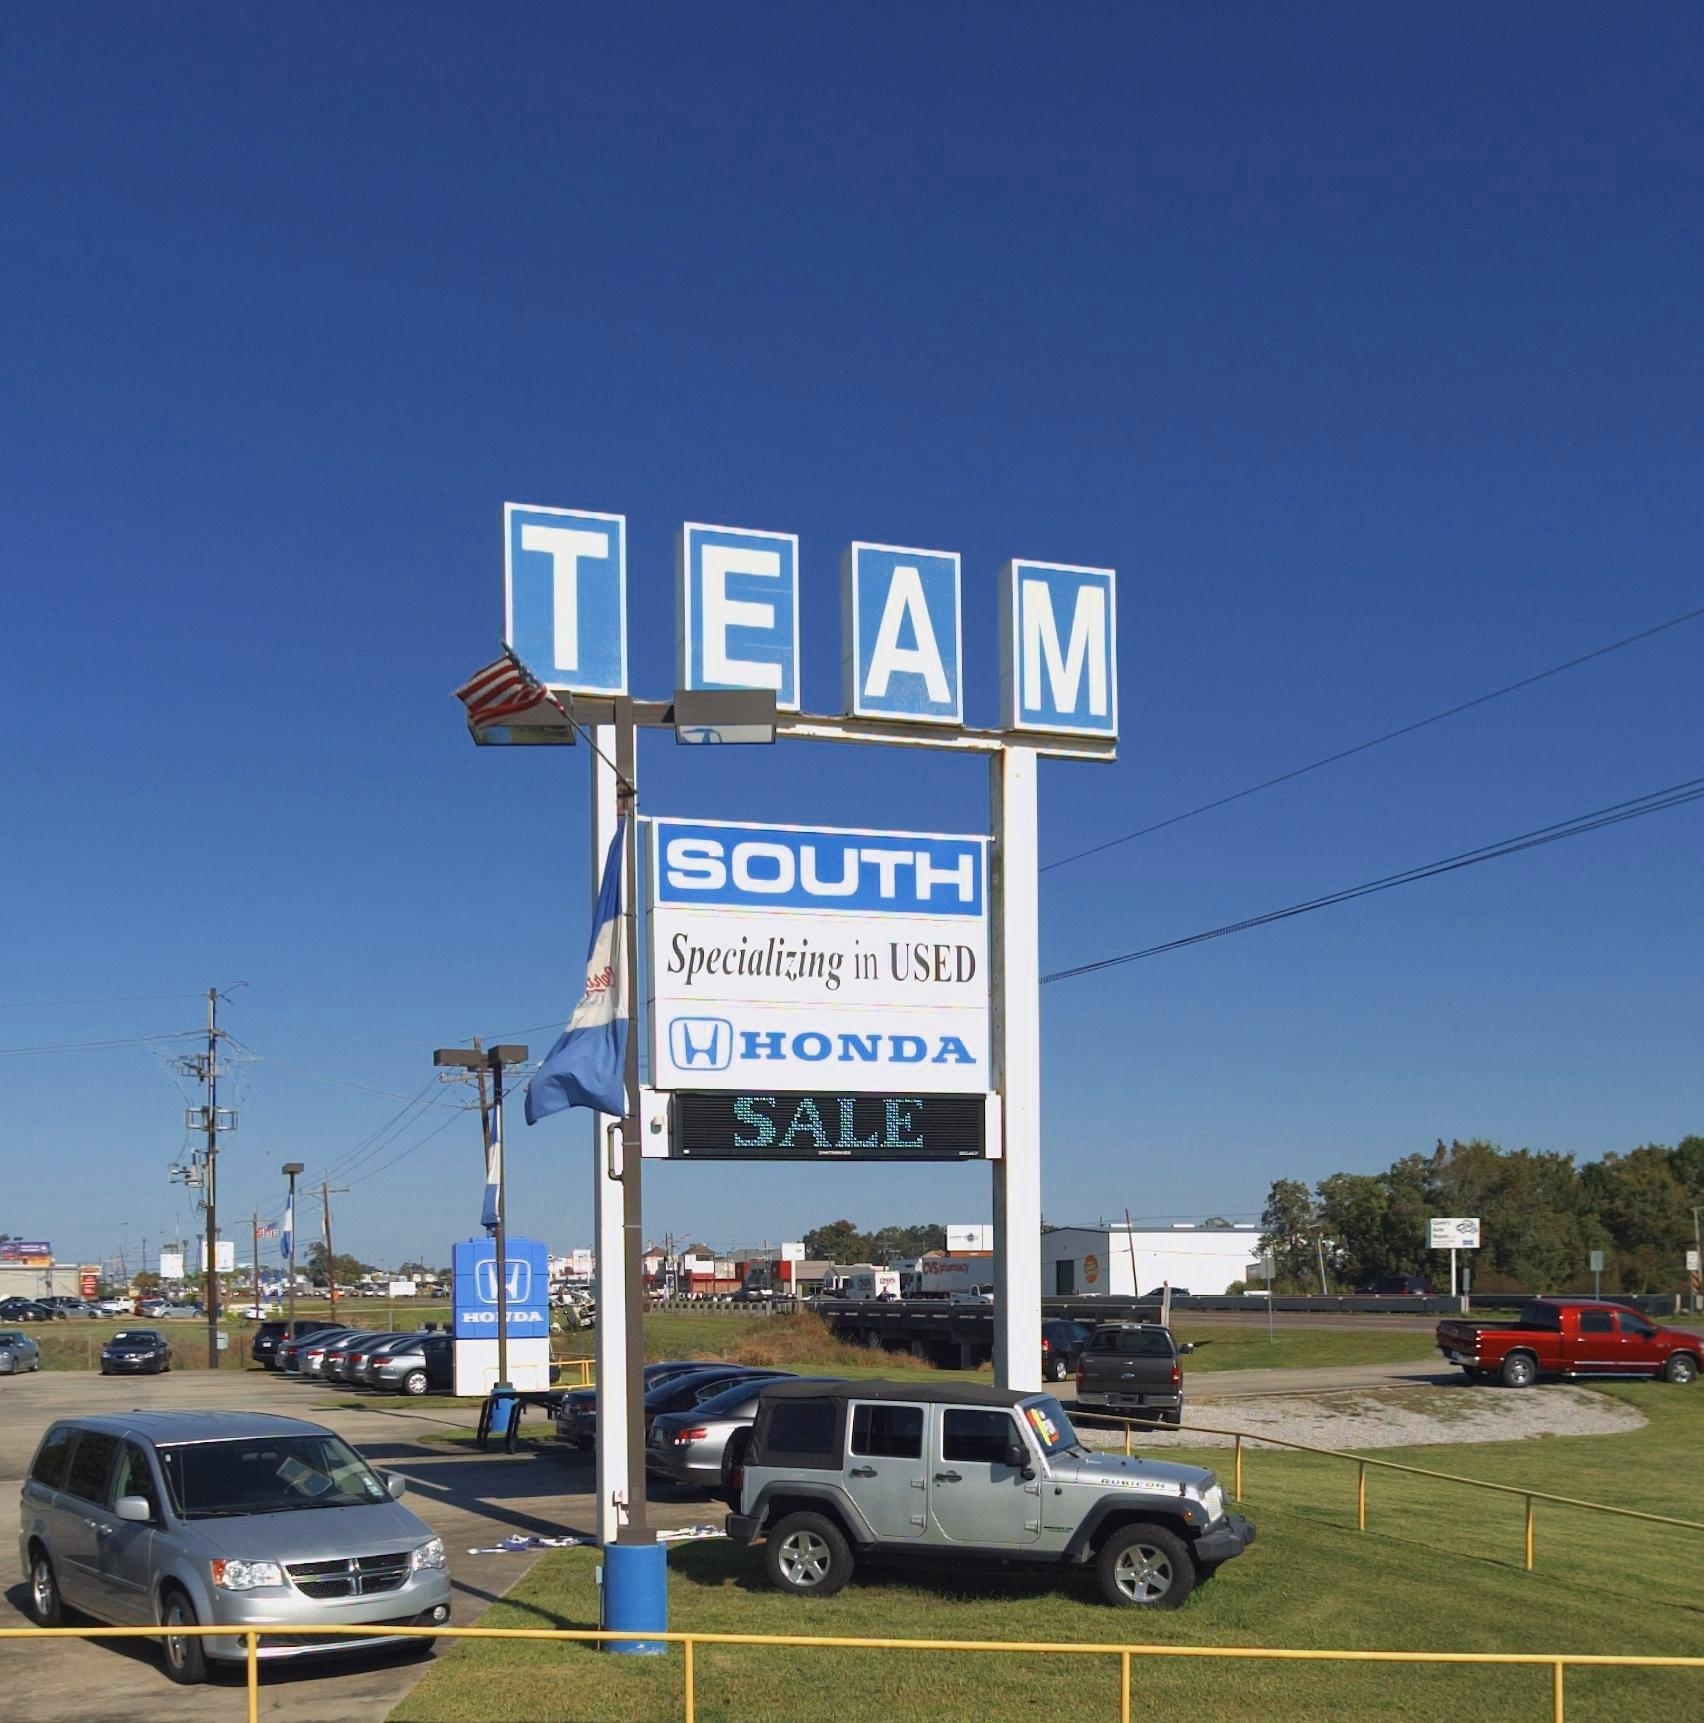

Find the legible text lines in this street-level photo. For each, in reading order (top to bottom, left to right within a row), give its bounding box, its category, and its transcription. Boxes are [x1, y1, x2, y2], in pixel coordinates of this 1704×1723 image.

[517, 519, 1110, 720] None: TEAM
[663, 836, 977, 906] None: SOUTH
[664, 929, 978, 994] None: Specializing in USED
[679, 1020, 721, 1069] None: H
[737, 1029, 980, 1066] BusinessName: HONDA
[731, 1093, 926, 1151] None: SALE
[460, 1308, 547, 1325] BusinessName: HO*DA